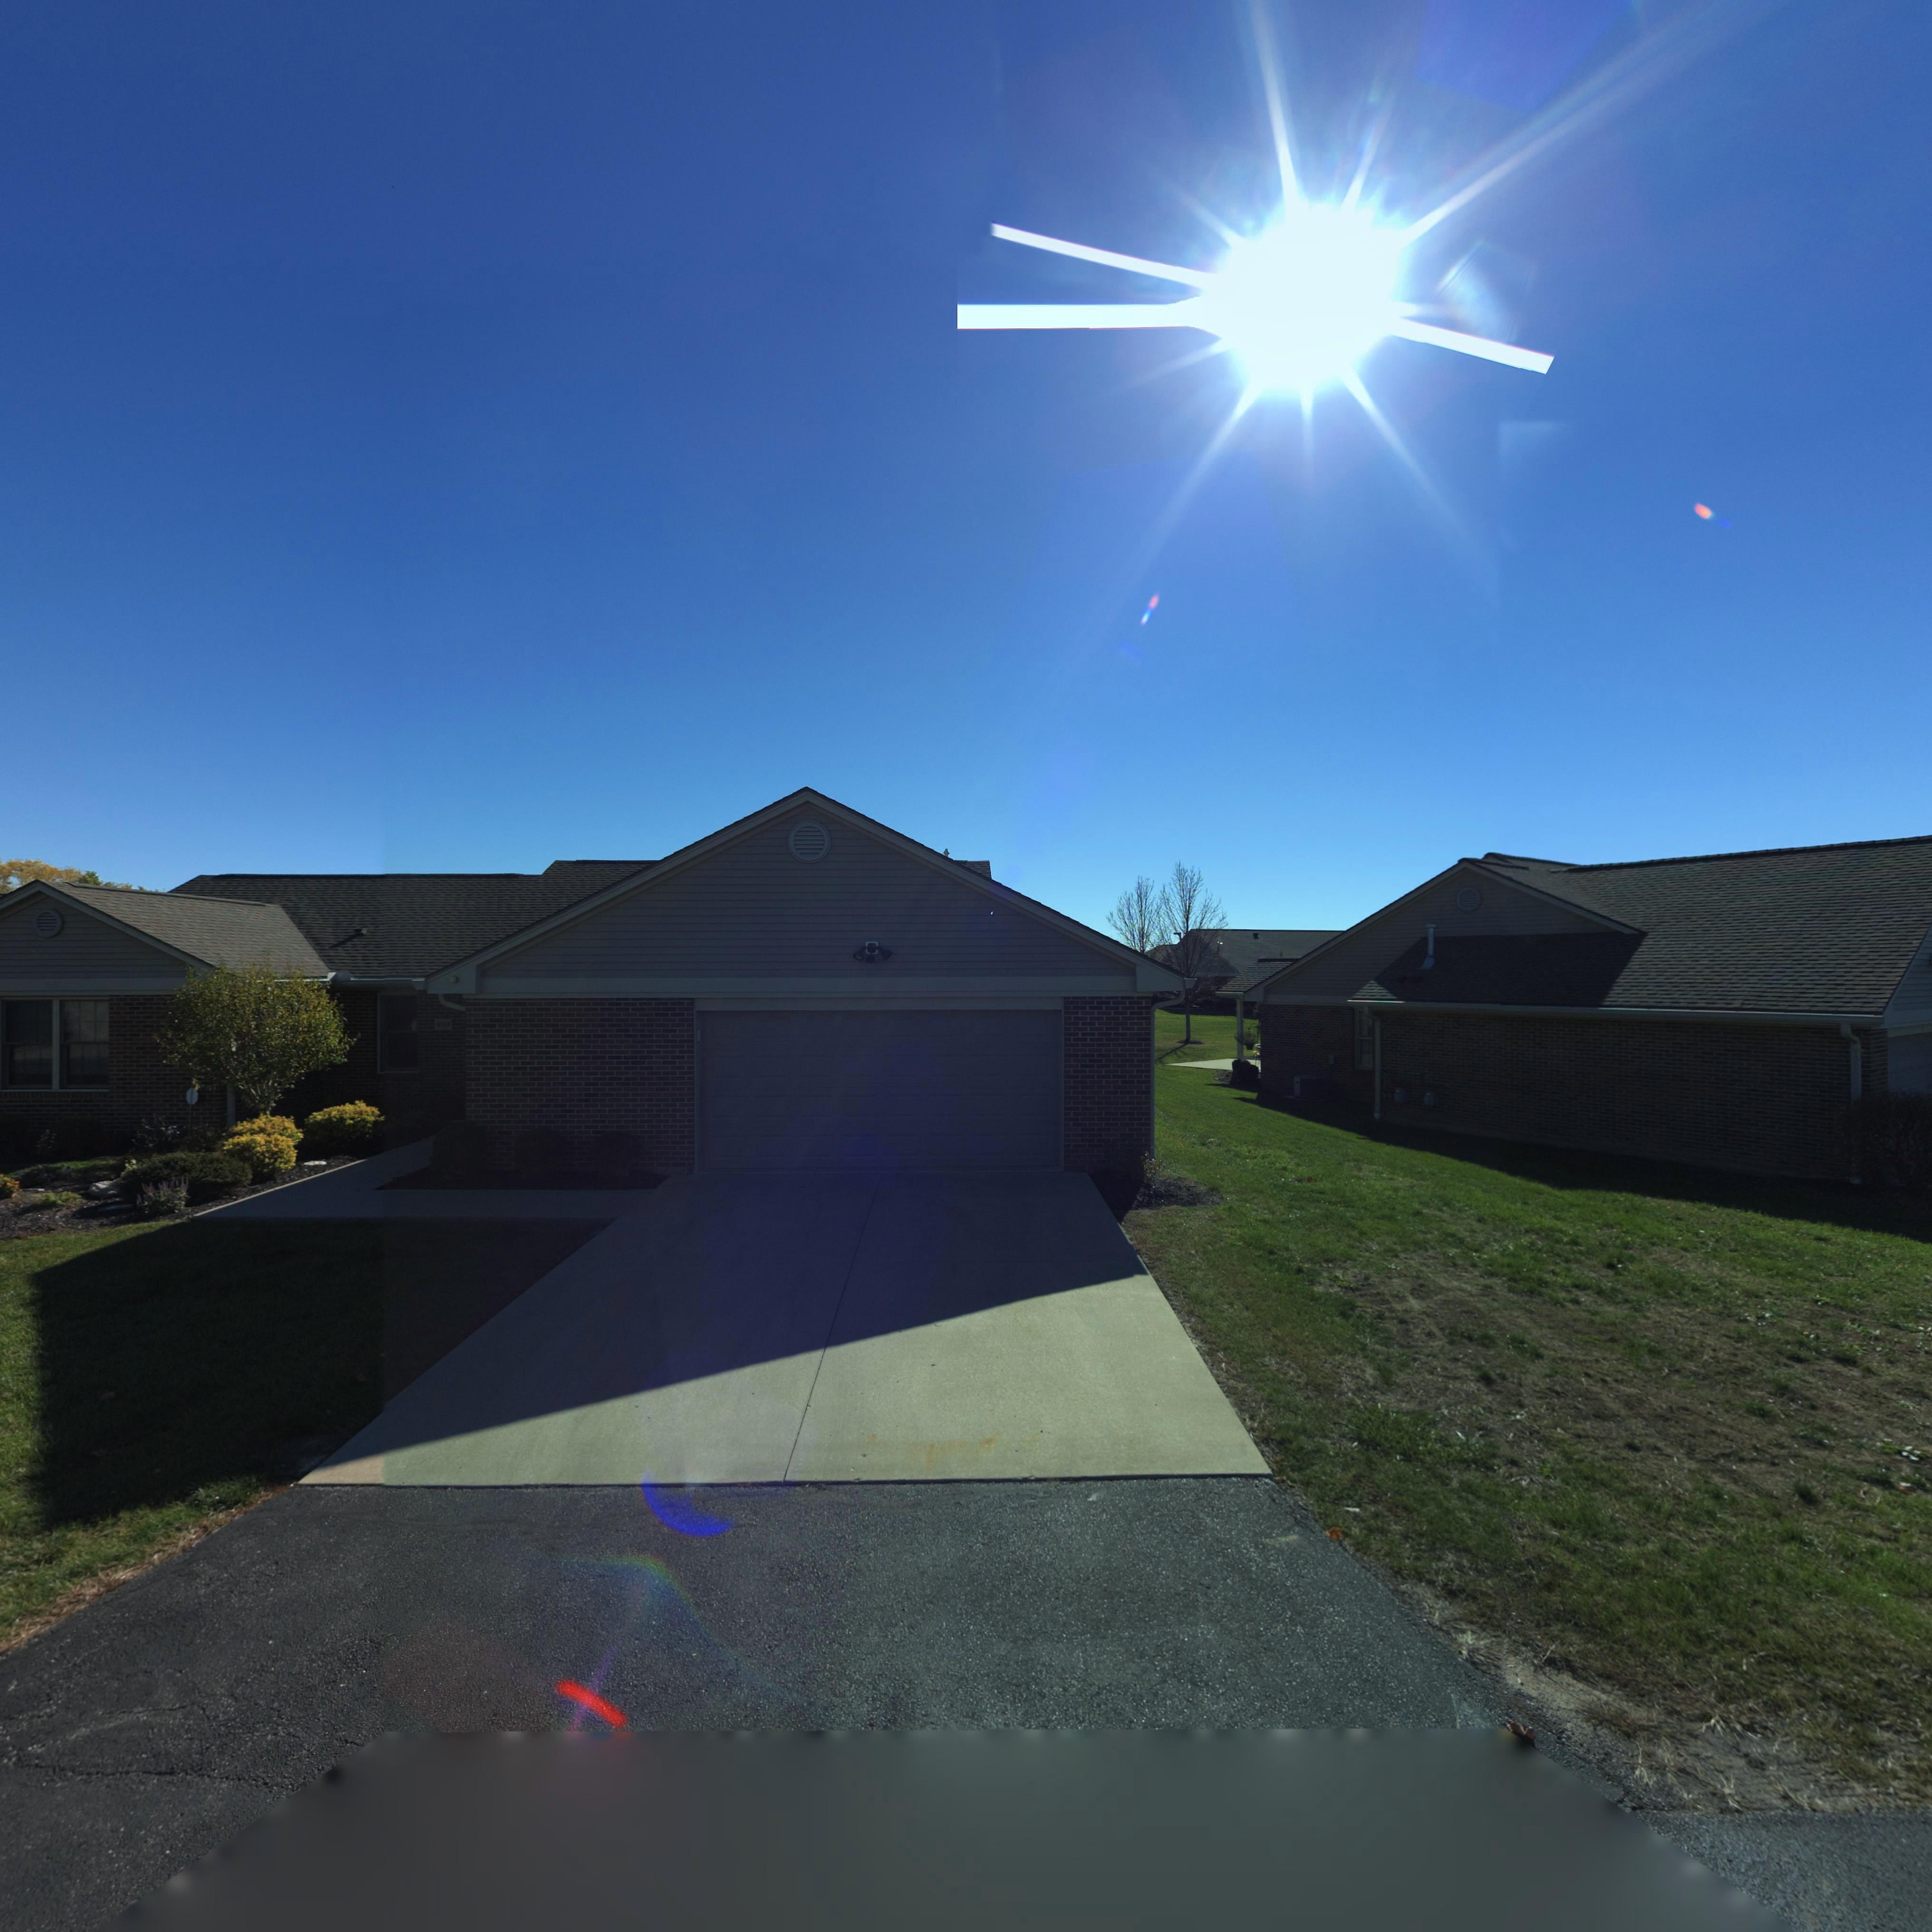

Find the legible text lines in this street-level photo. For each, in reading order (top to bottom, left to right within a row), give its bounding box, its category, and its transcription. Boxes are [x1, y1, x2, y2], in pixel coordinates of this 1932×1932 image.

[436, 1021, 450, 1027] StreetNumber: 820